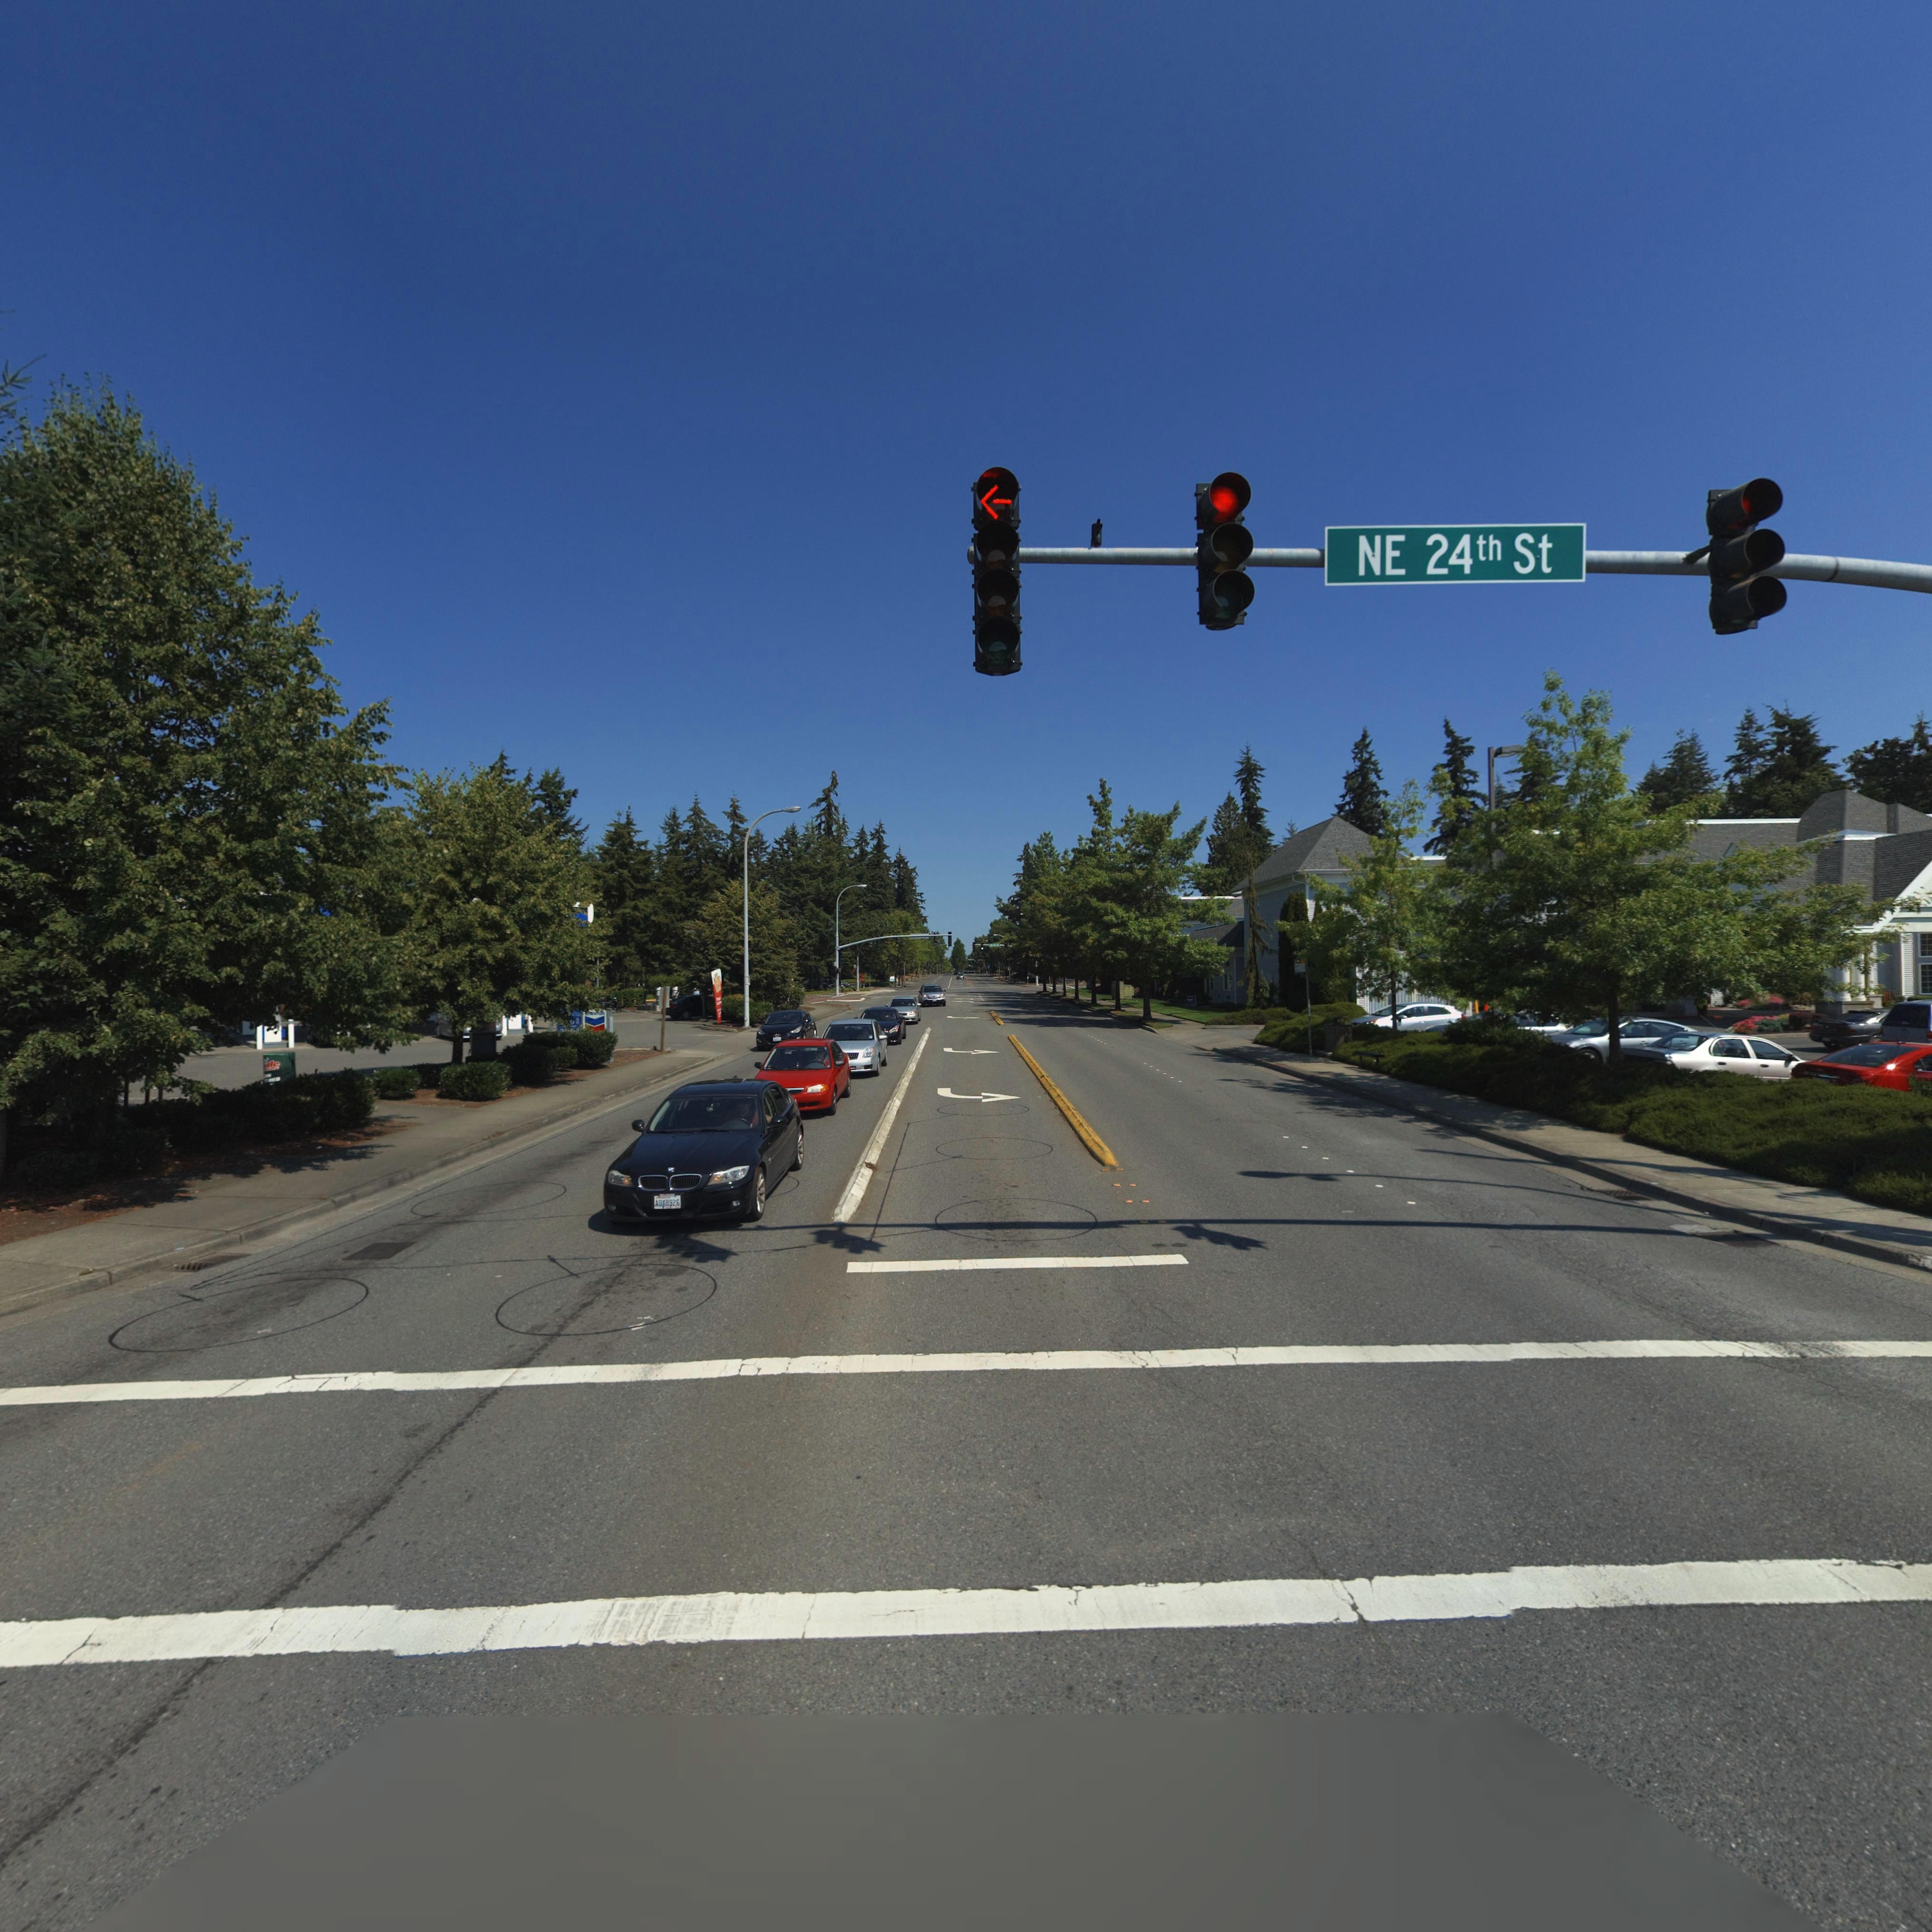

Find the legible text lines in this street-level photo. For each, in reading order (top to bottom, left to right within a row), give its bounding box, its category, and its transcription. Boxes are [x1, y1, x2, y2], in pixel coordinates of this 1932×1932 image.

[1358, 532, 1552, 576] StreetName: NE 24th St